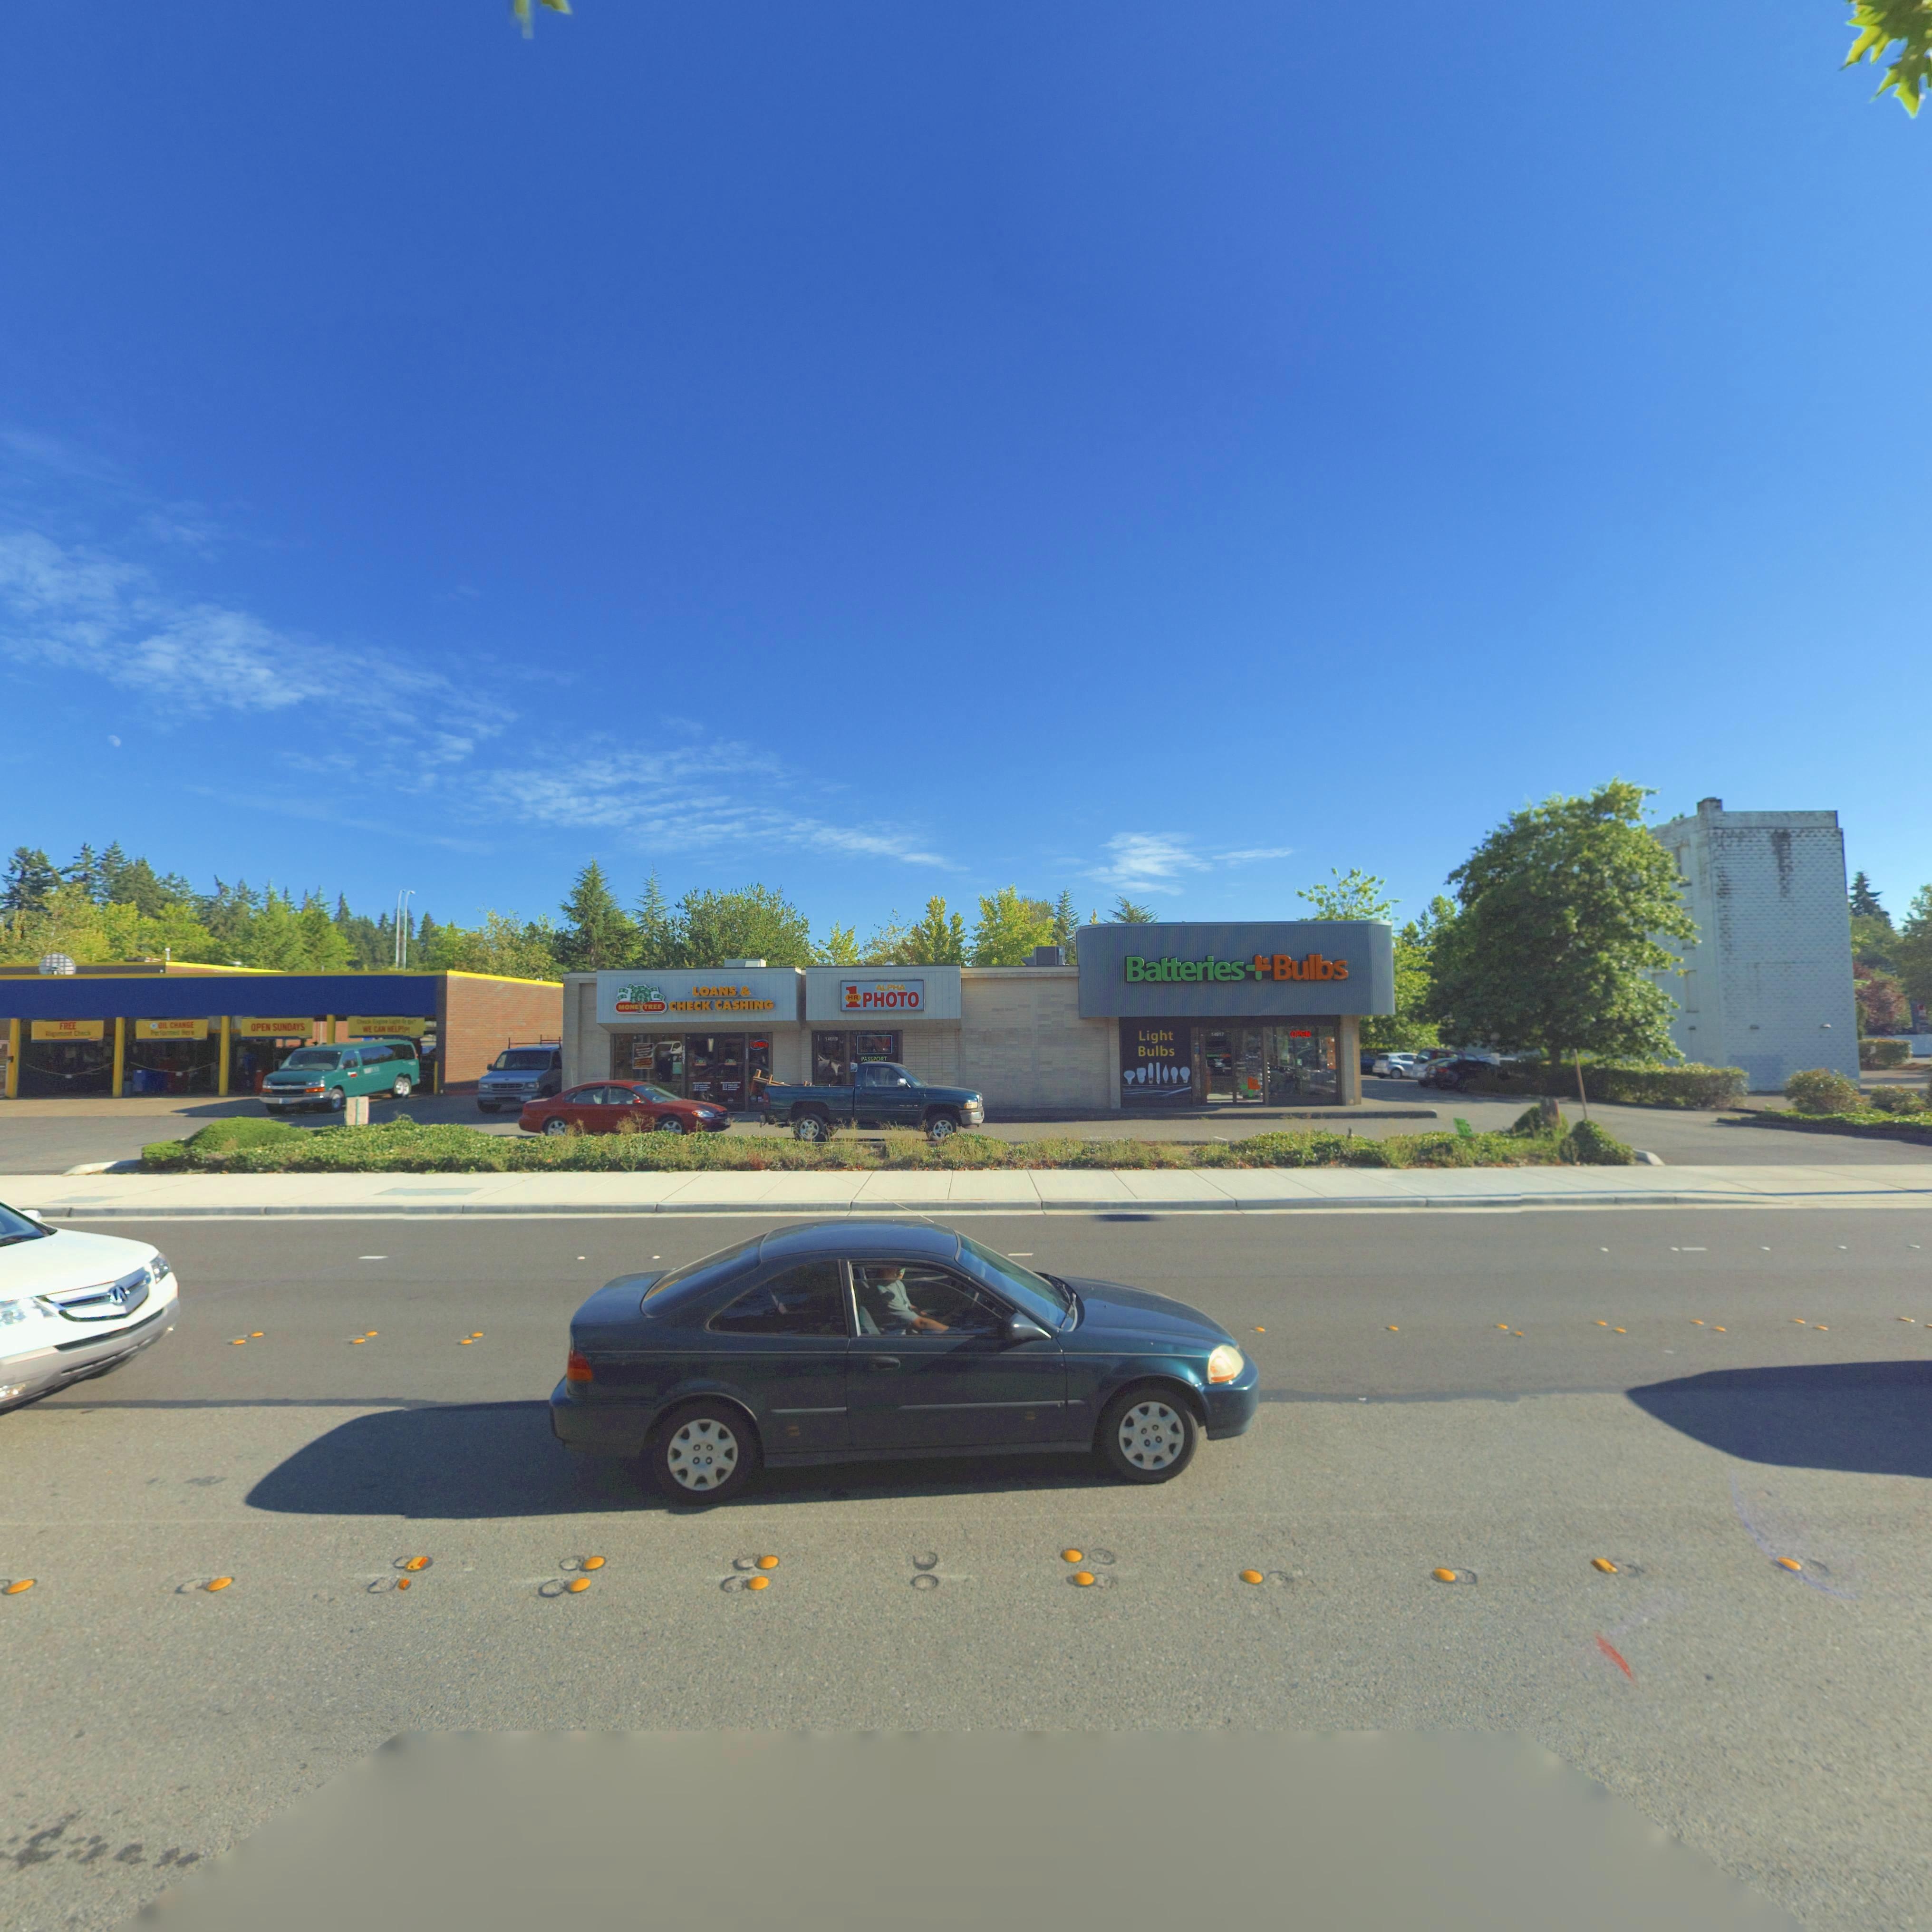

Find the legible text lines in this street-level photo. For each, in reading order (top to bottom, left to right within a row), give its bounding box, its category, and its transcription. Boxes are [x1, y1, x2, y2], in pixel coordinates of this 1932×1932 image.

[1127, 954, 1349, 981] BusinessName: Batteries*Bulbs
[692, 986, 736, 996] BusinessName: LOANS
[876, 984, 906, 991] BusinessName: ALPHA
[845, 985, 860, 1007] BusinessName: 1
[848, 995, 858, 1000] BusinessName: HR
[862, 992, 918, 1007] BusinessName: PHOTO
[618, 1004, 661, 1009] None: MONE*TREE
[668, 1000, 774, 1011] BusinessName: CHECK CASHING
[825, 1037, 838, 1041] StreetNumber: 14*19